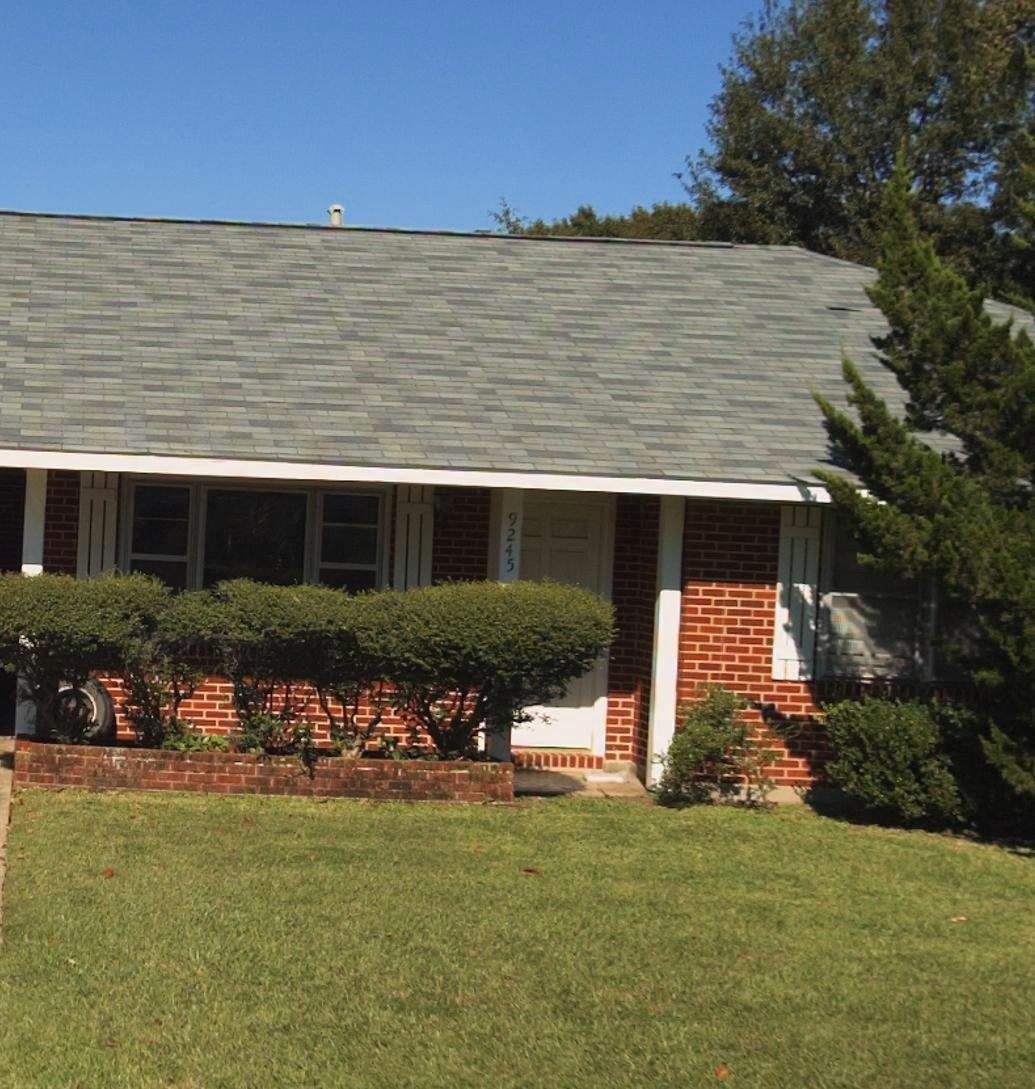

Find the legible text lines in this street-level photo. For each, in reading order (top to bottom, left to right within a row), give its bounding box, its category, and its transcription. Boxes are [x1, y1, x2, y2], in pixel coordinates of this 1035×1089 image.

[504, 510, 518, 573] StreetNumber: 9245